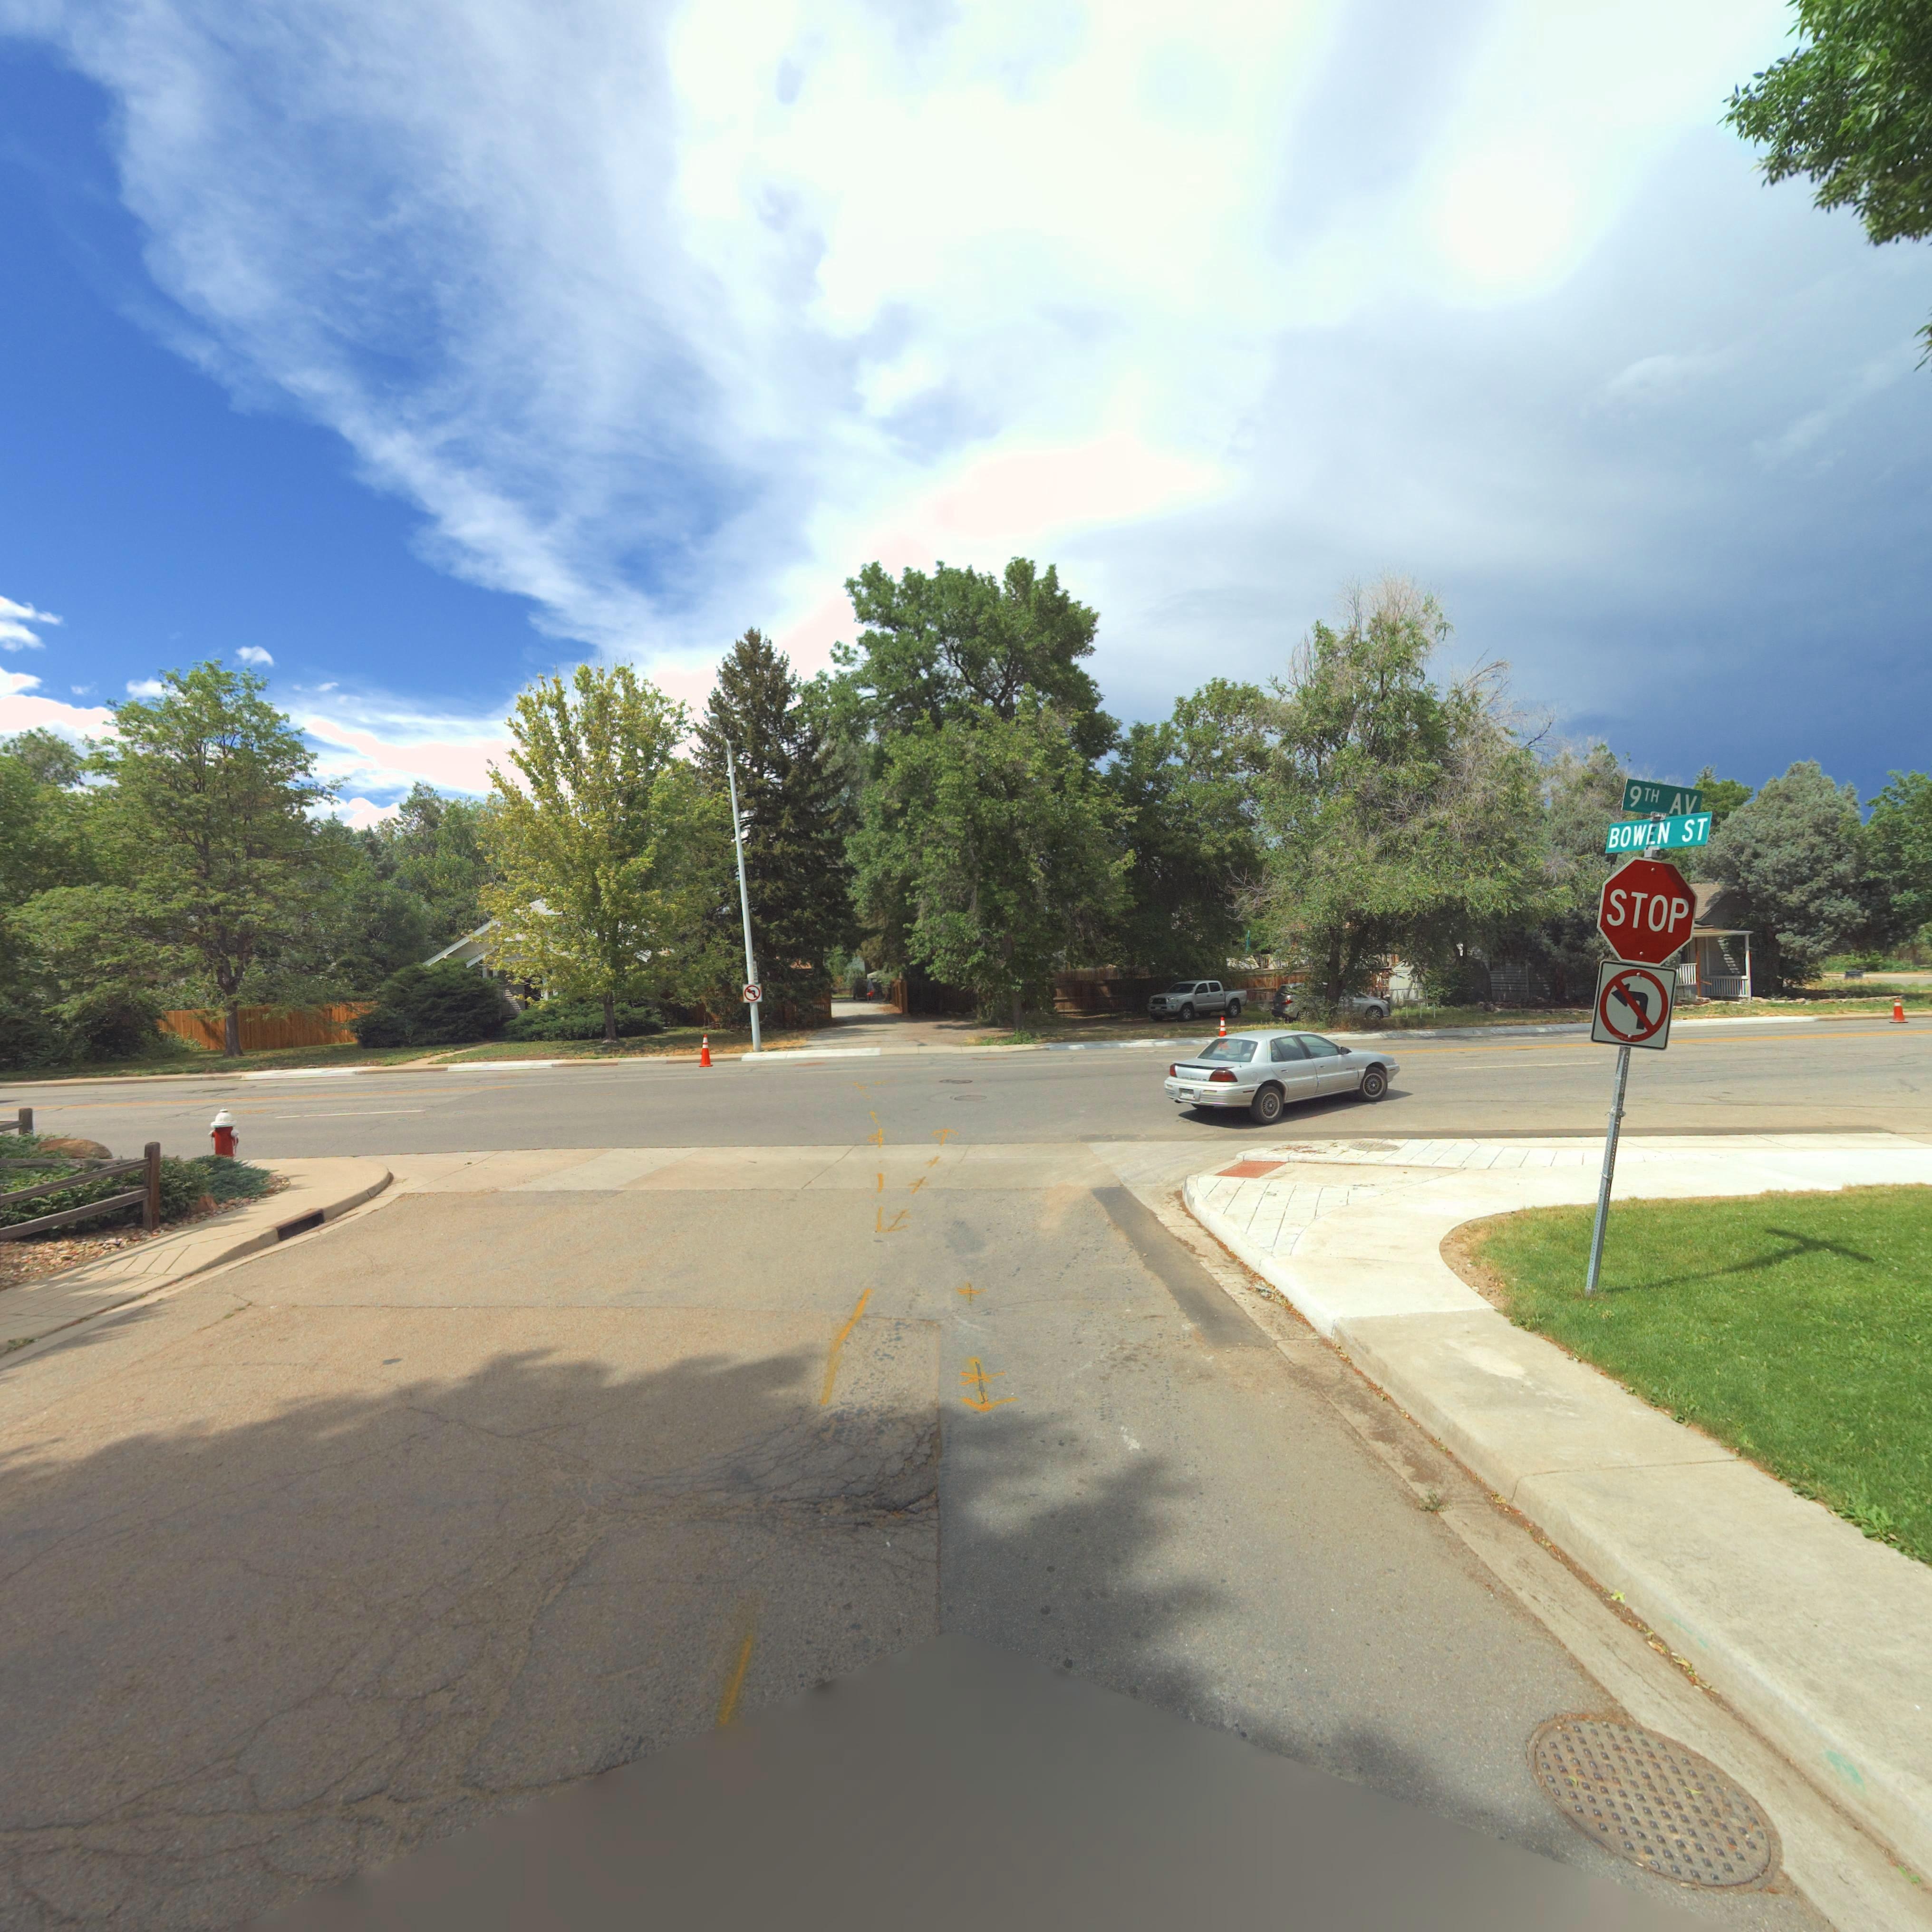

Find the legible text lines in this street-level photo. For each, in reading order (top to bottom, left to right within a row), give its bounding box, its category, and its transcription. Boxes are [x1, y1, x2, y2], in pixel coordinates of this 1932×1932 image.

[1628, 784, 1700, 816] StreetName: 9TH AV
[1607, 816, 1709, 849] StreetName: BOWEN ST